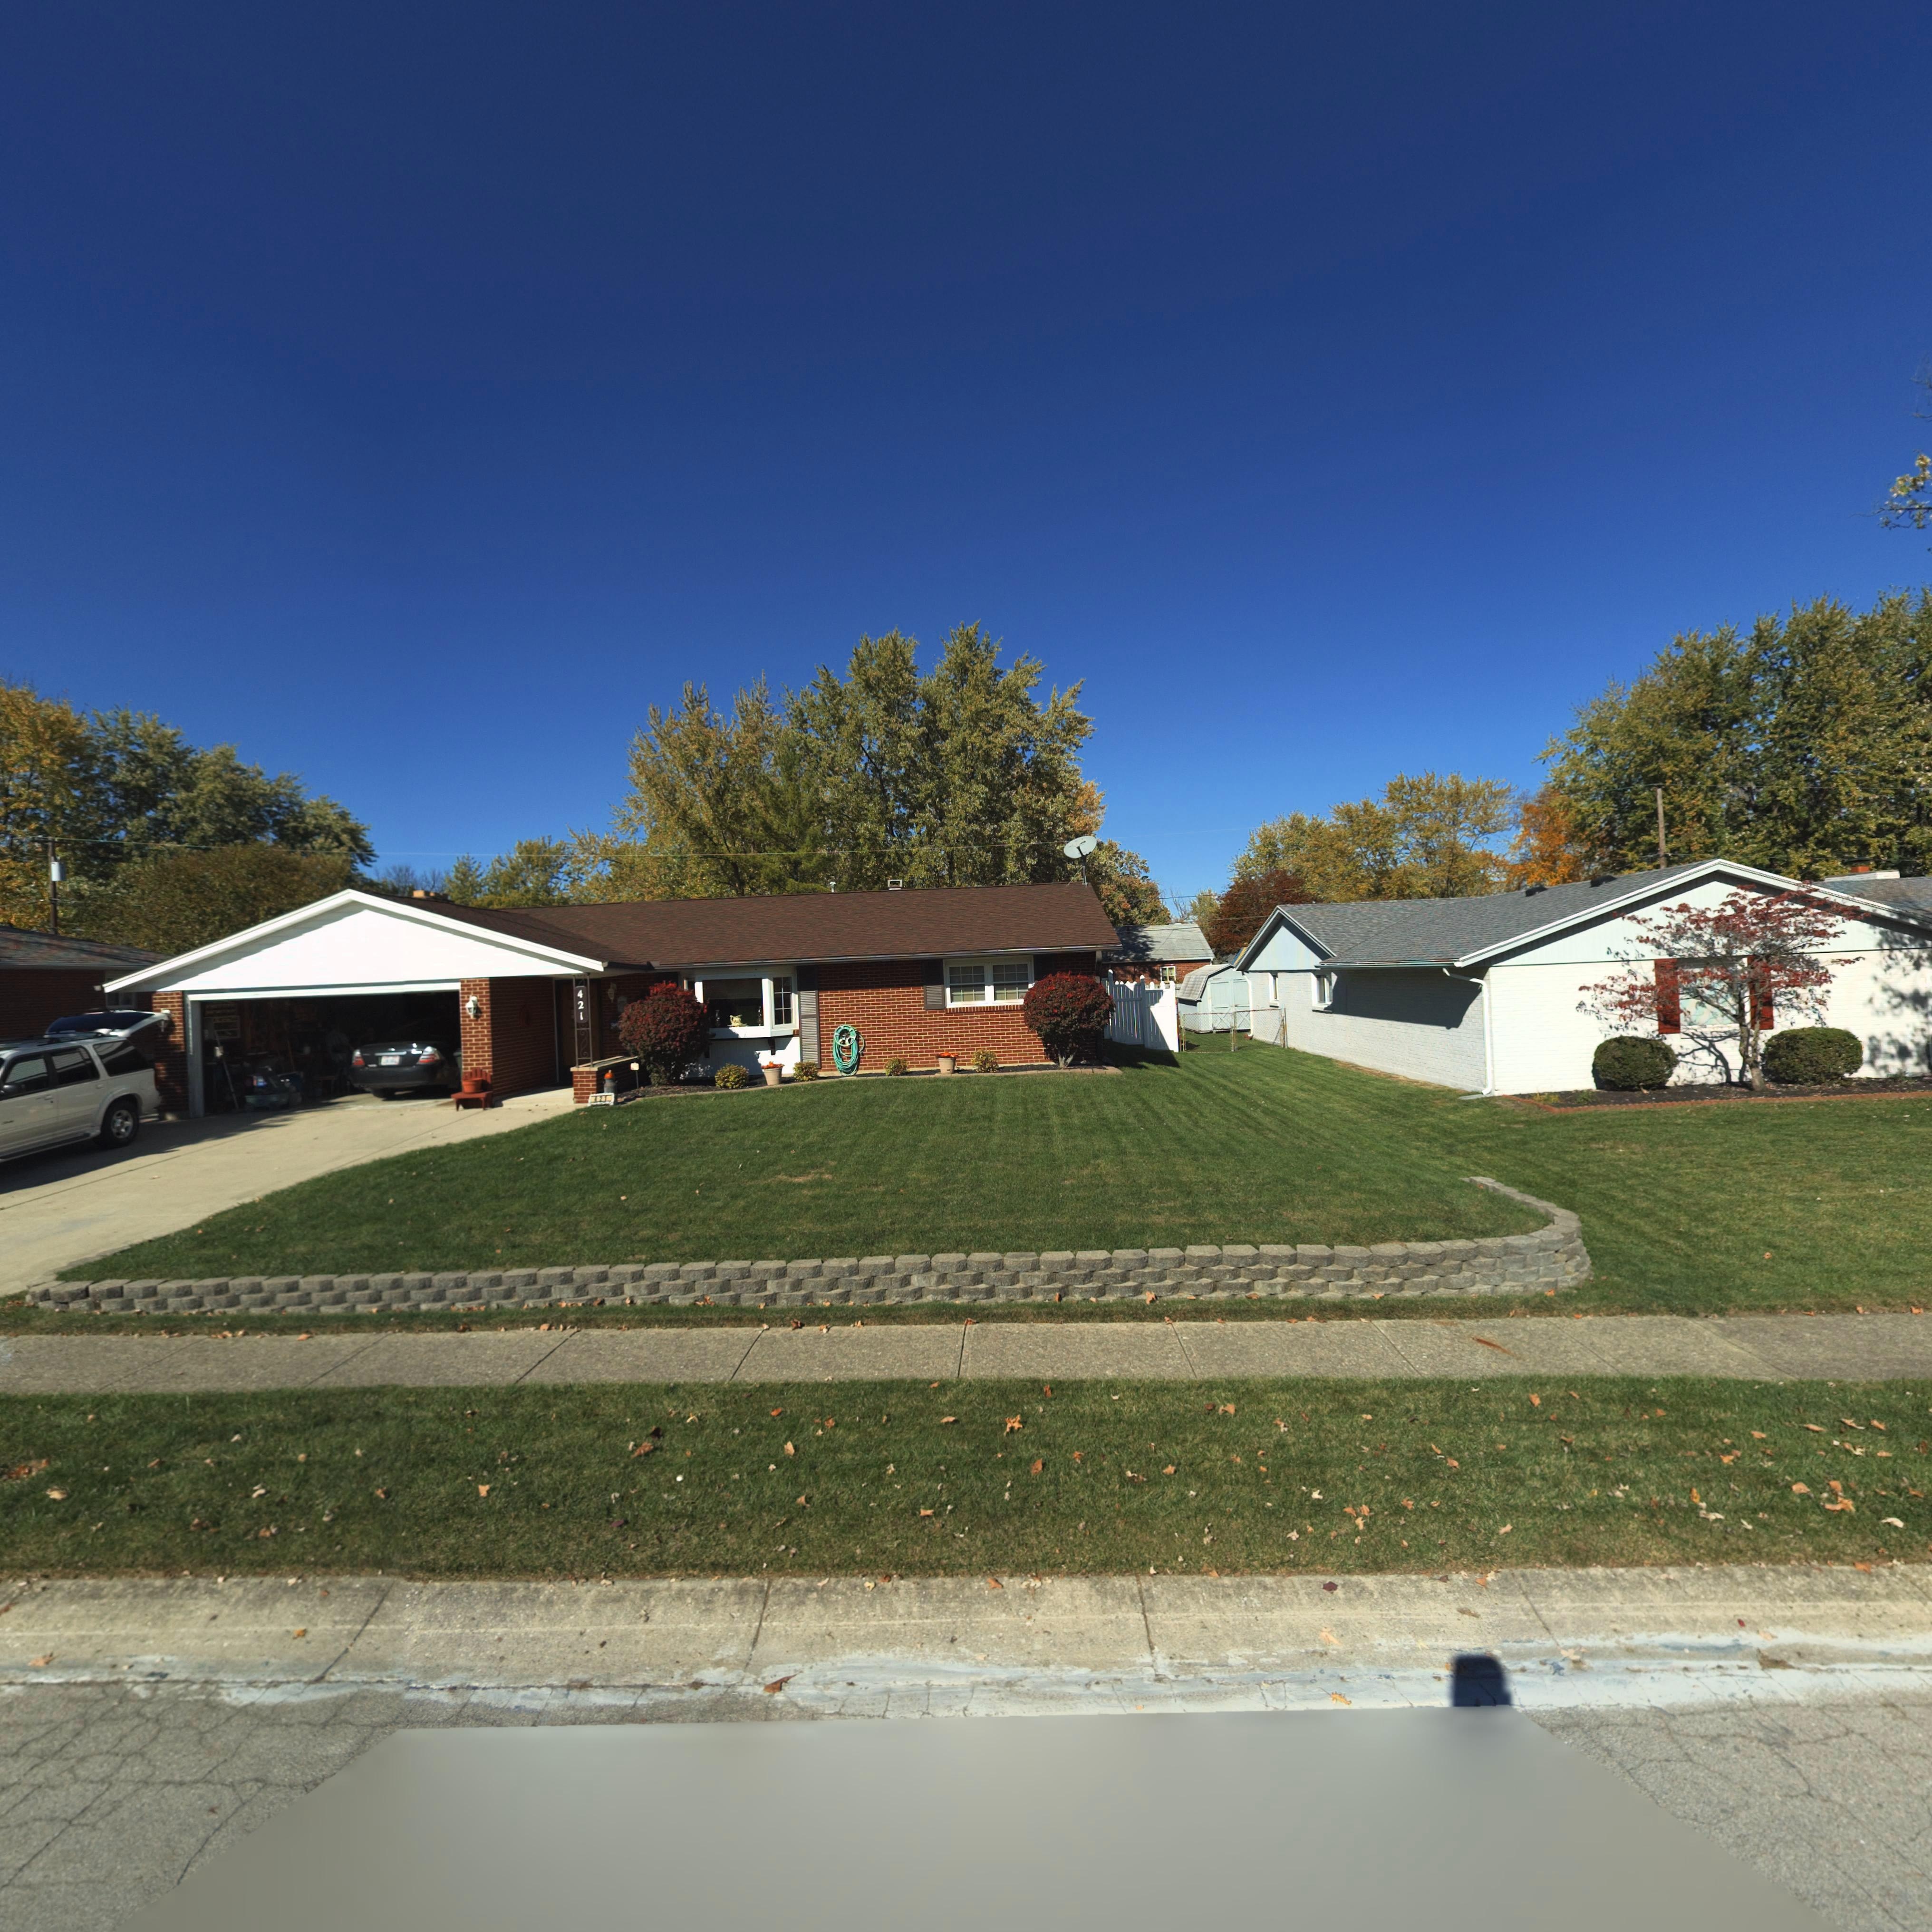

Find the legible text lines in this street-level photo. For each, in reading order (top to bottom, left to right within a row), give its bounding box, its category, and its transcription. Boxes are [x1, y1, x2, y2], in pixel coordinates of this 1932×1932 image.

[575, 987, 586, 1022] StreetNumber: 421
[592, 1094, 608, 1103] StreetNumber: *21